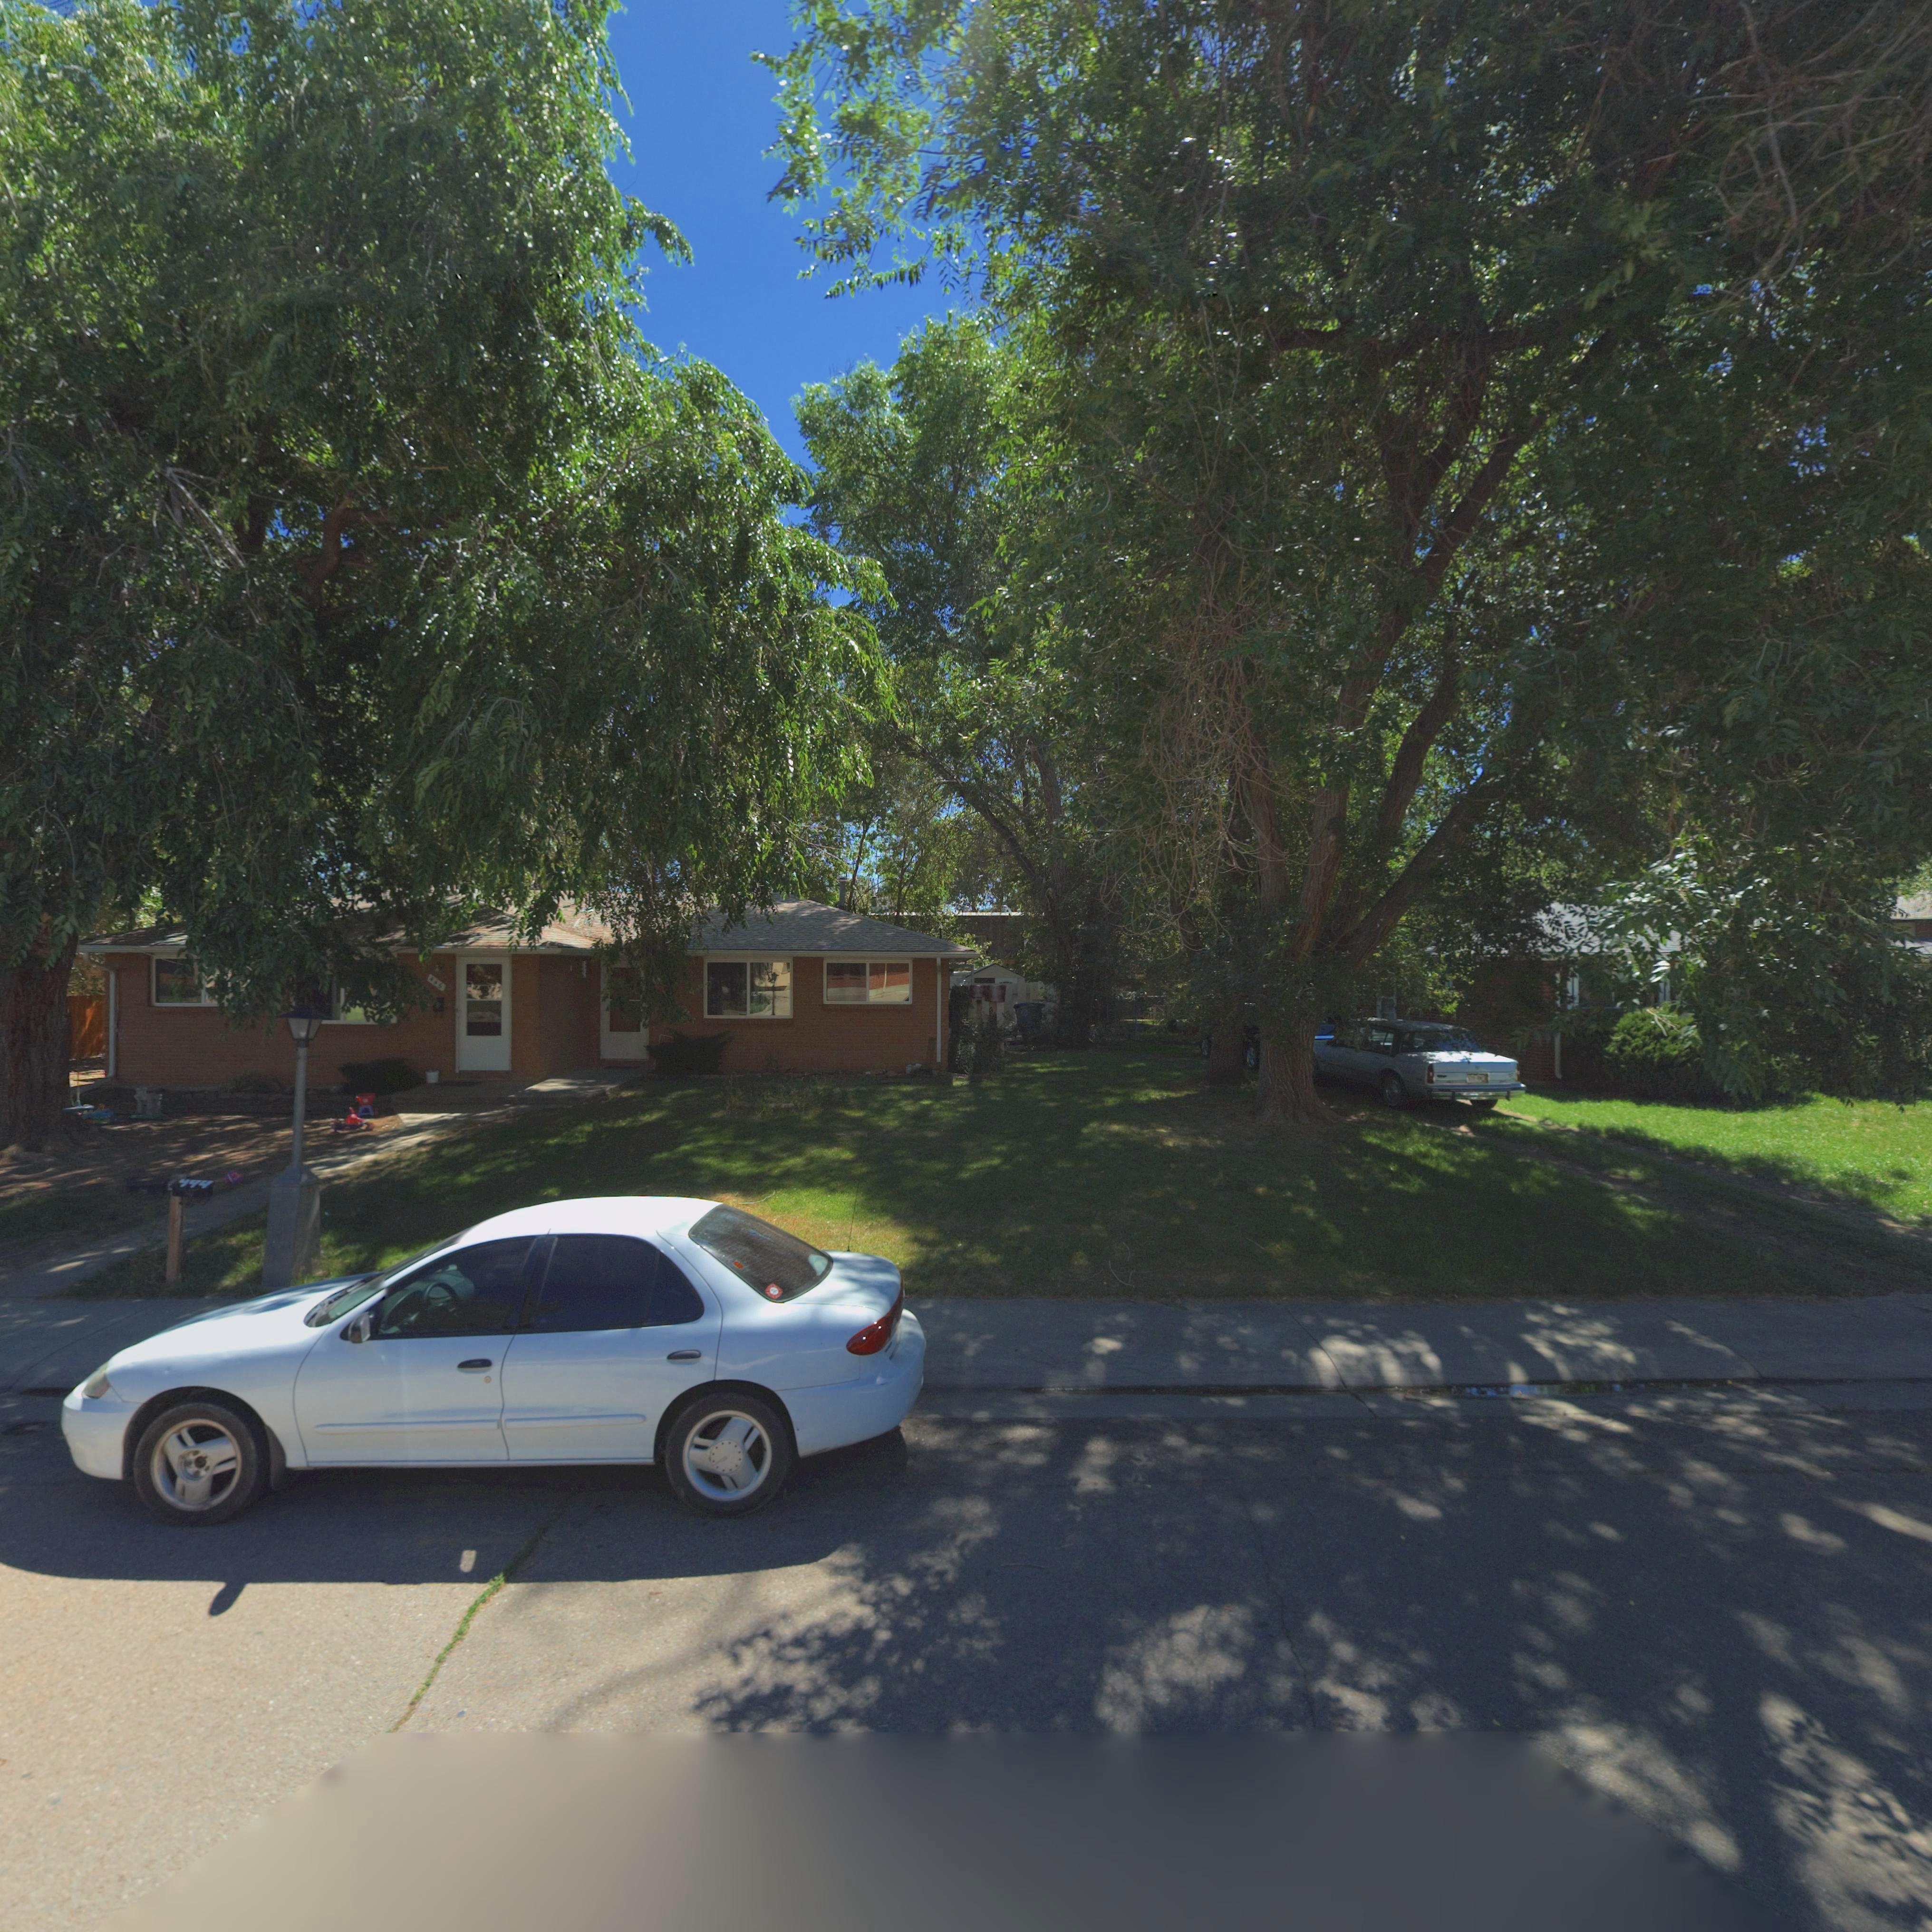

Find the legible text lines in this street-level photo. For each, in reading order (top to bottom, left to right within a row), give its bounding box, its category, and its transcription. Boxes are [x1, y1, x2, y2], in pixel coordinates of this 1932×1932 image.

[426, 974, 446, 993] StreetNumber: 446